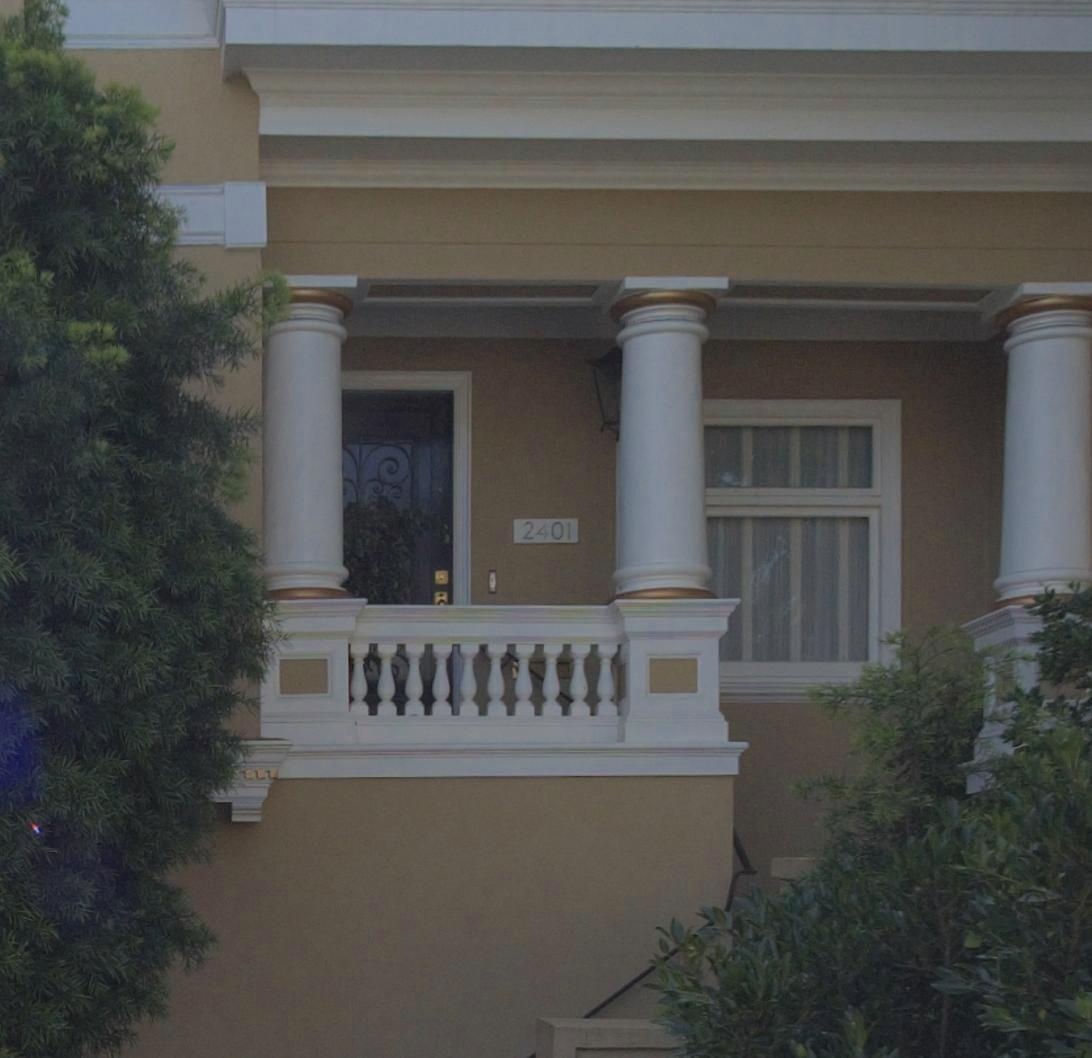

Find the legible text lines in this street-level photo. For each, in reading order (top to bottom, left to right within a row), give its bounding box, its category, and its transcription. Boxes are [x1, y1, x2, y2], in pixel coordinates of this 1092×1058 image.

[520, 519, 572, 543] StreetNumber: 2401